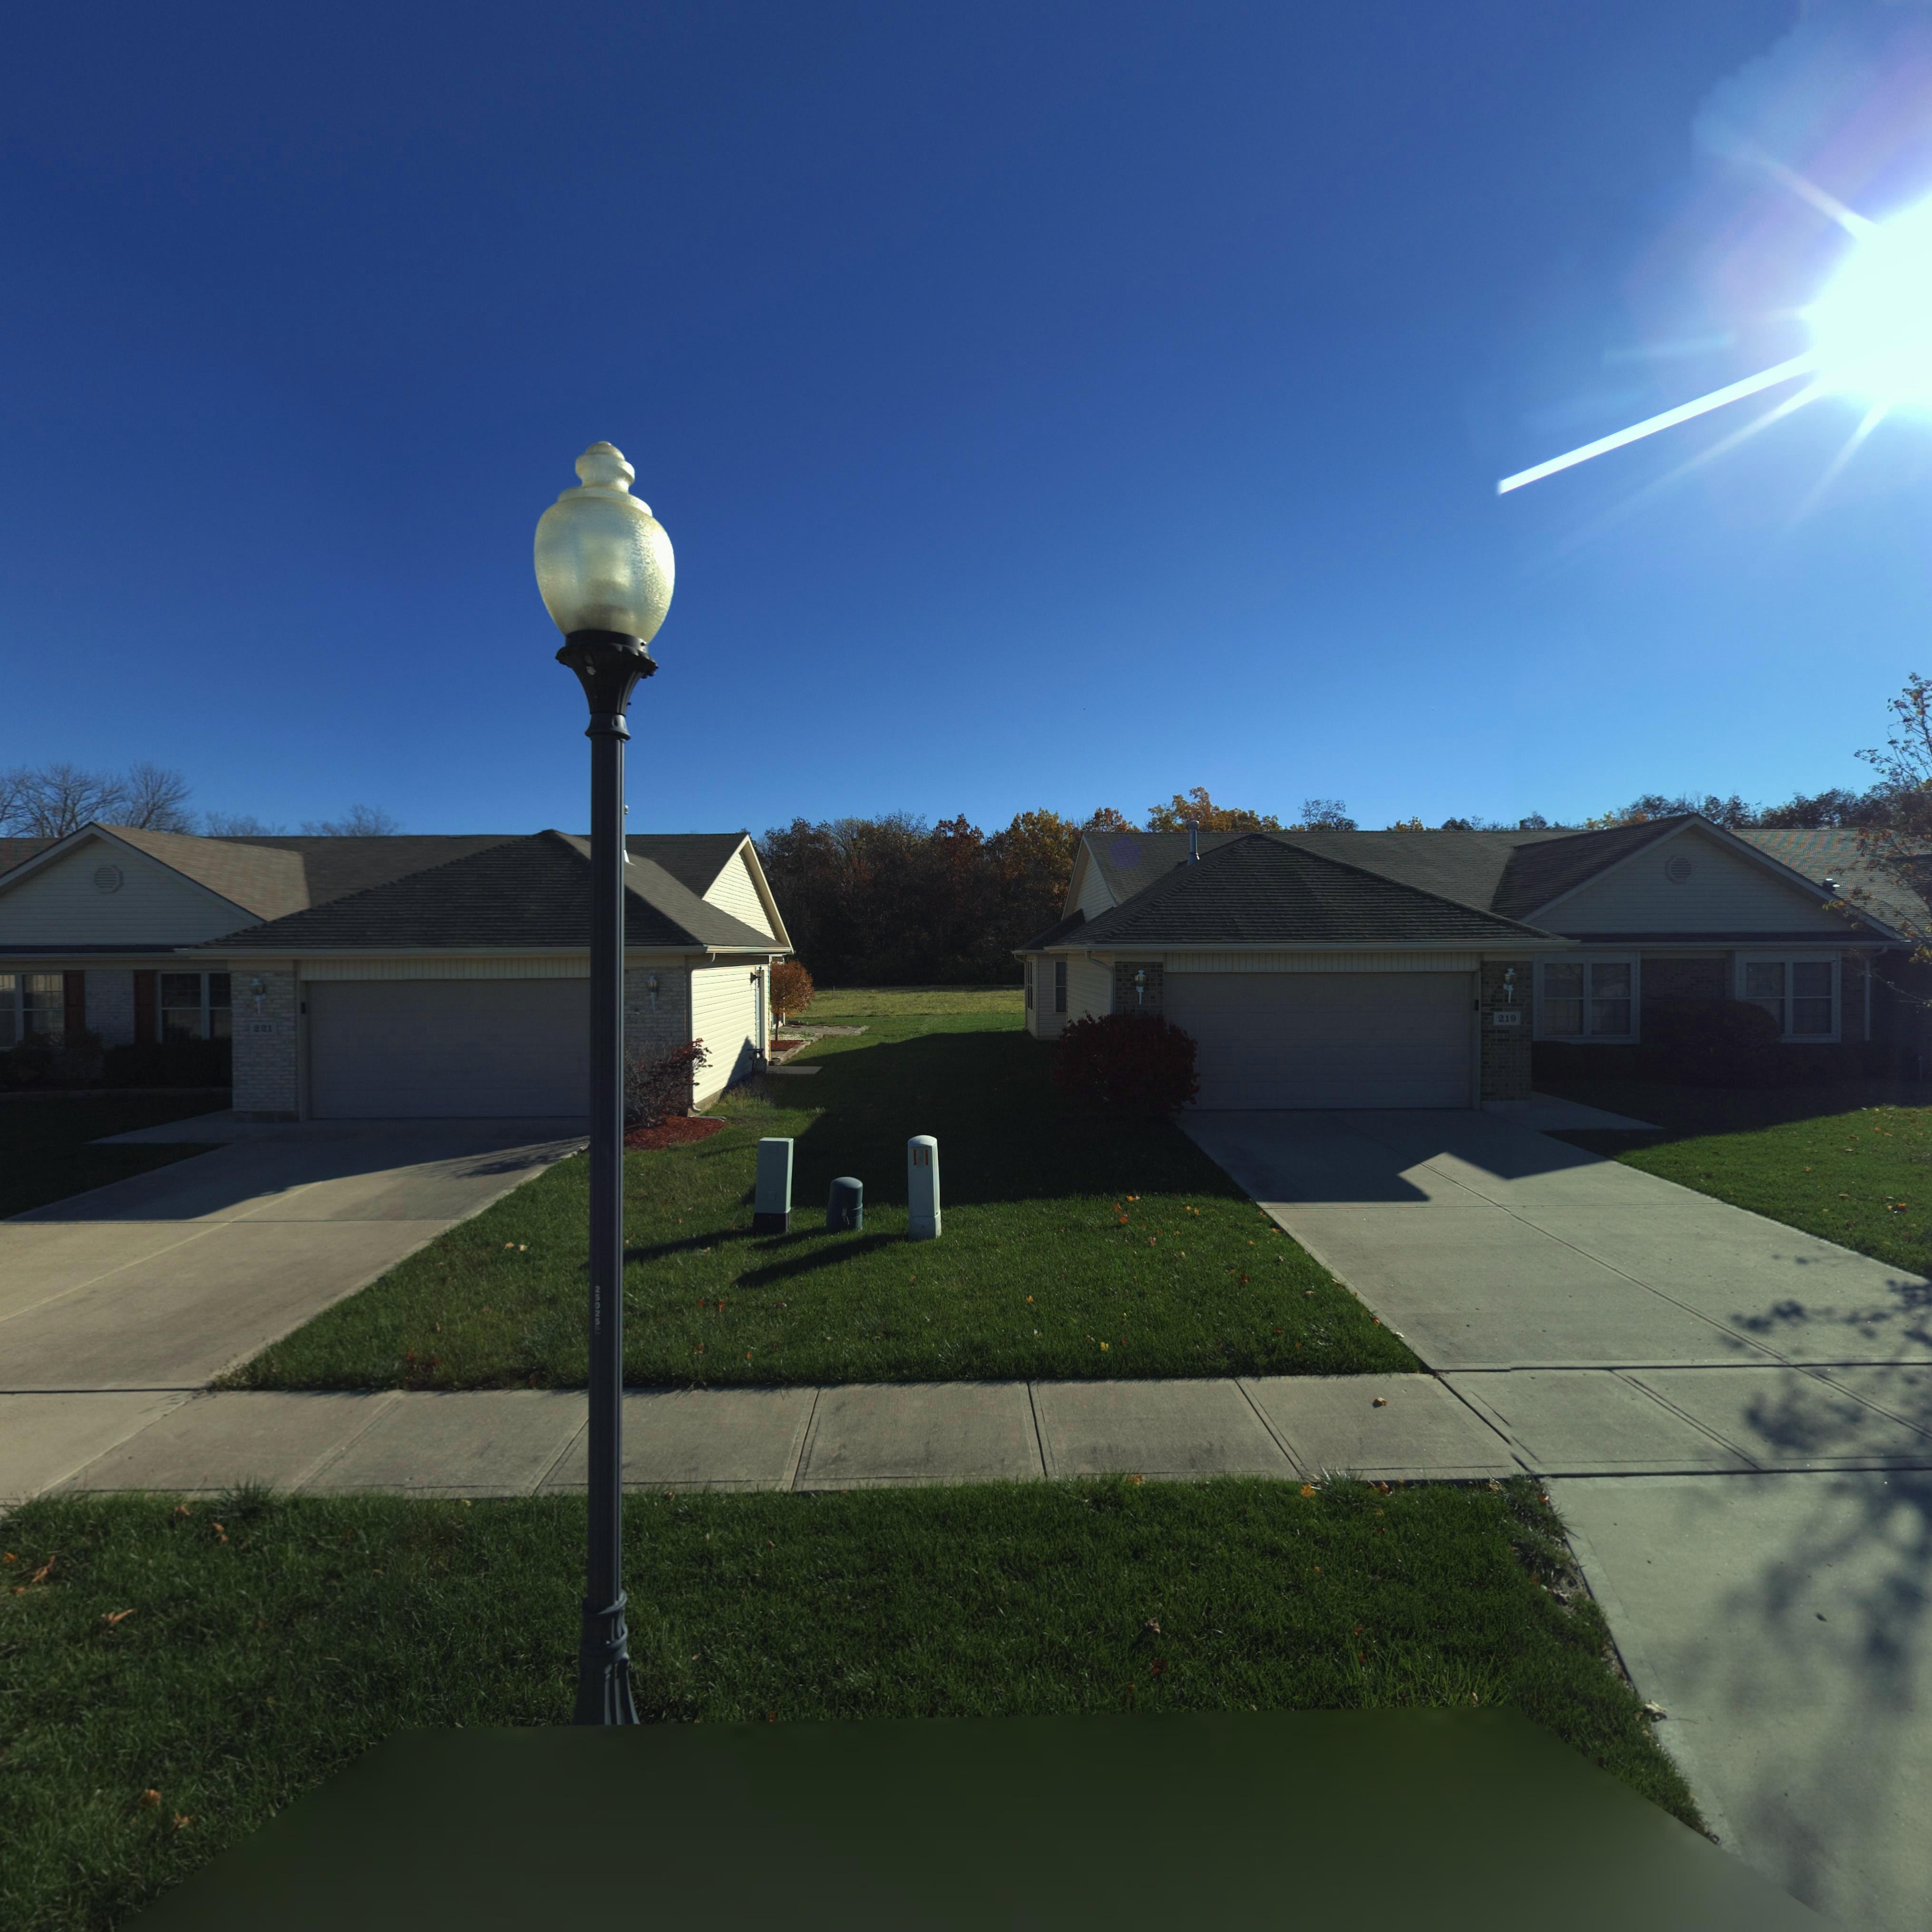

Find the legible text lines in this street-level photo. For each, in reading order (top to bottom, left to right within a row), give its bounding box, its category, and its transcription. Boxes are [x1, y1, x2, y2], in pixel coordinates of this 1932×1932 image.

[1497, 1014, 1517, 1023] StreetNumber: 219
[253, 1024, 273, 1033] StreetNumber: 221